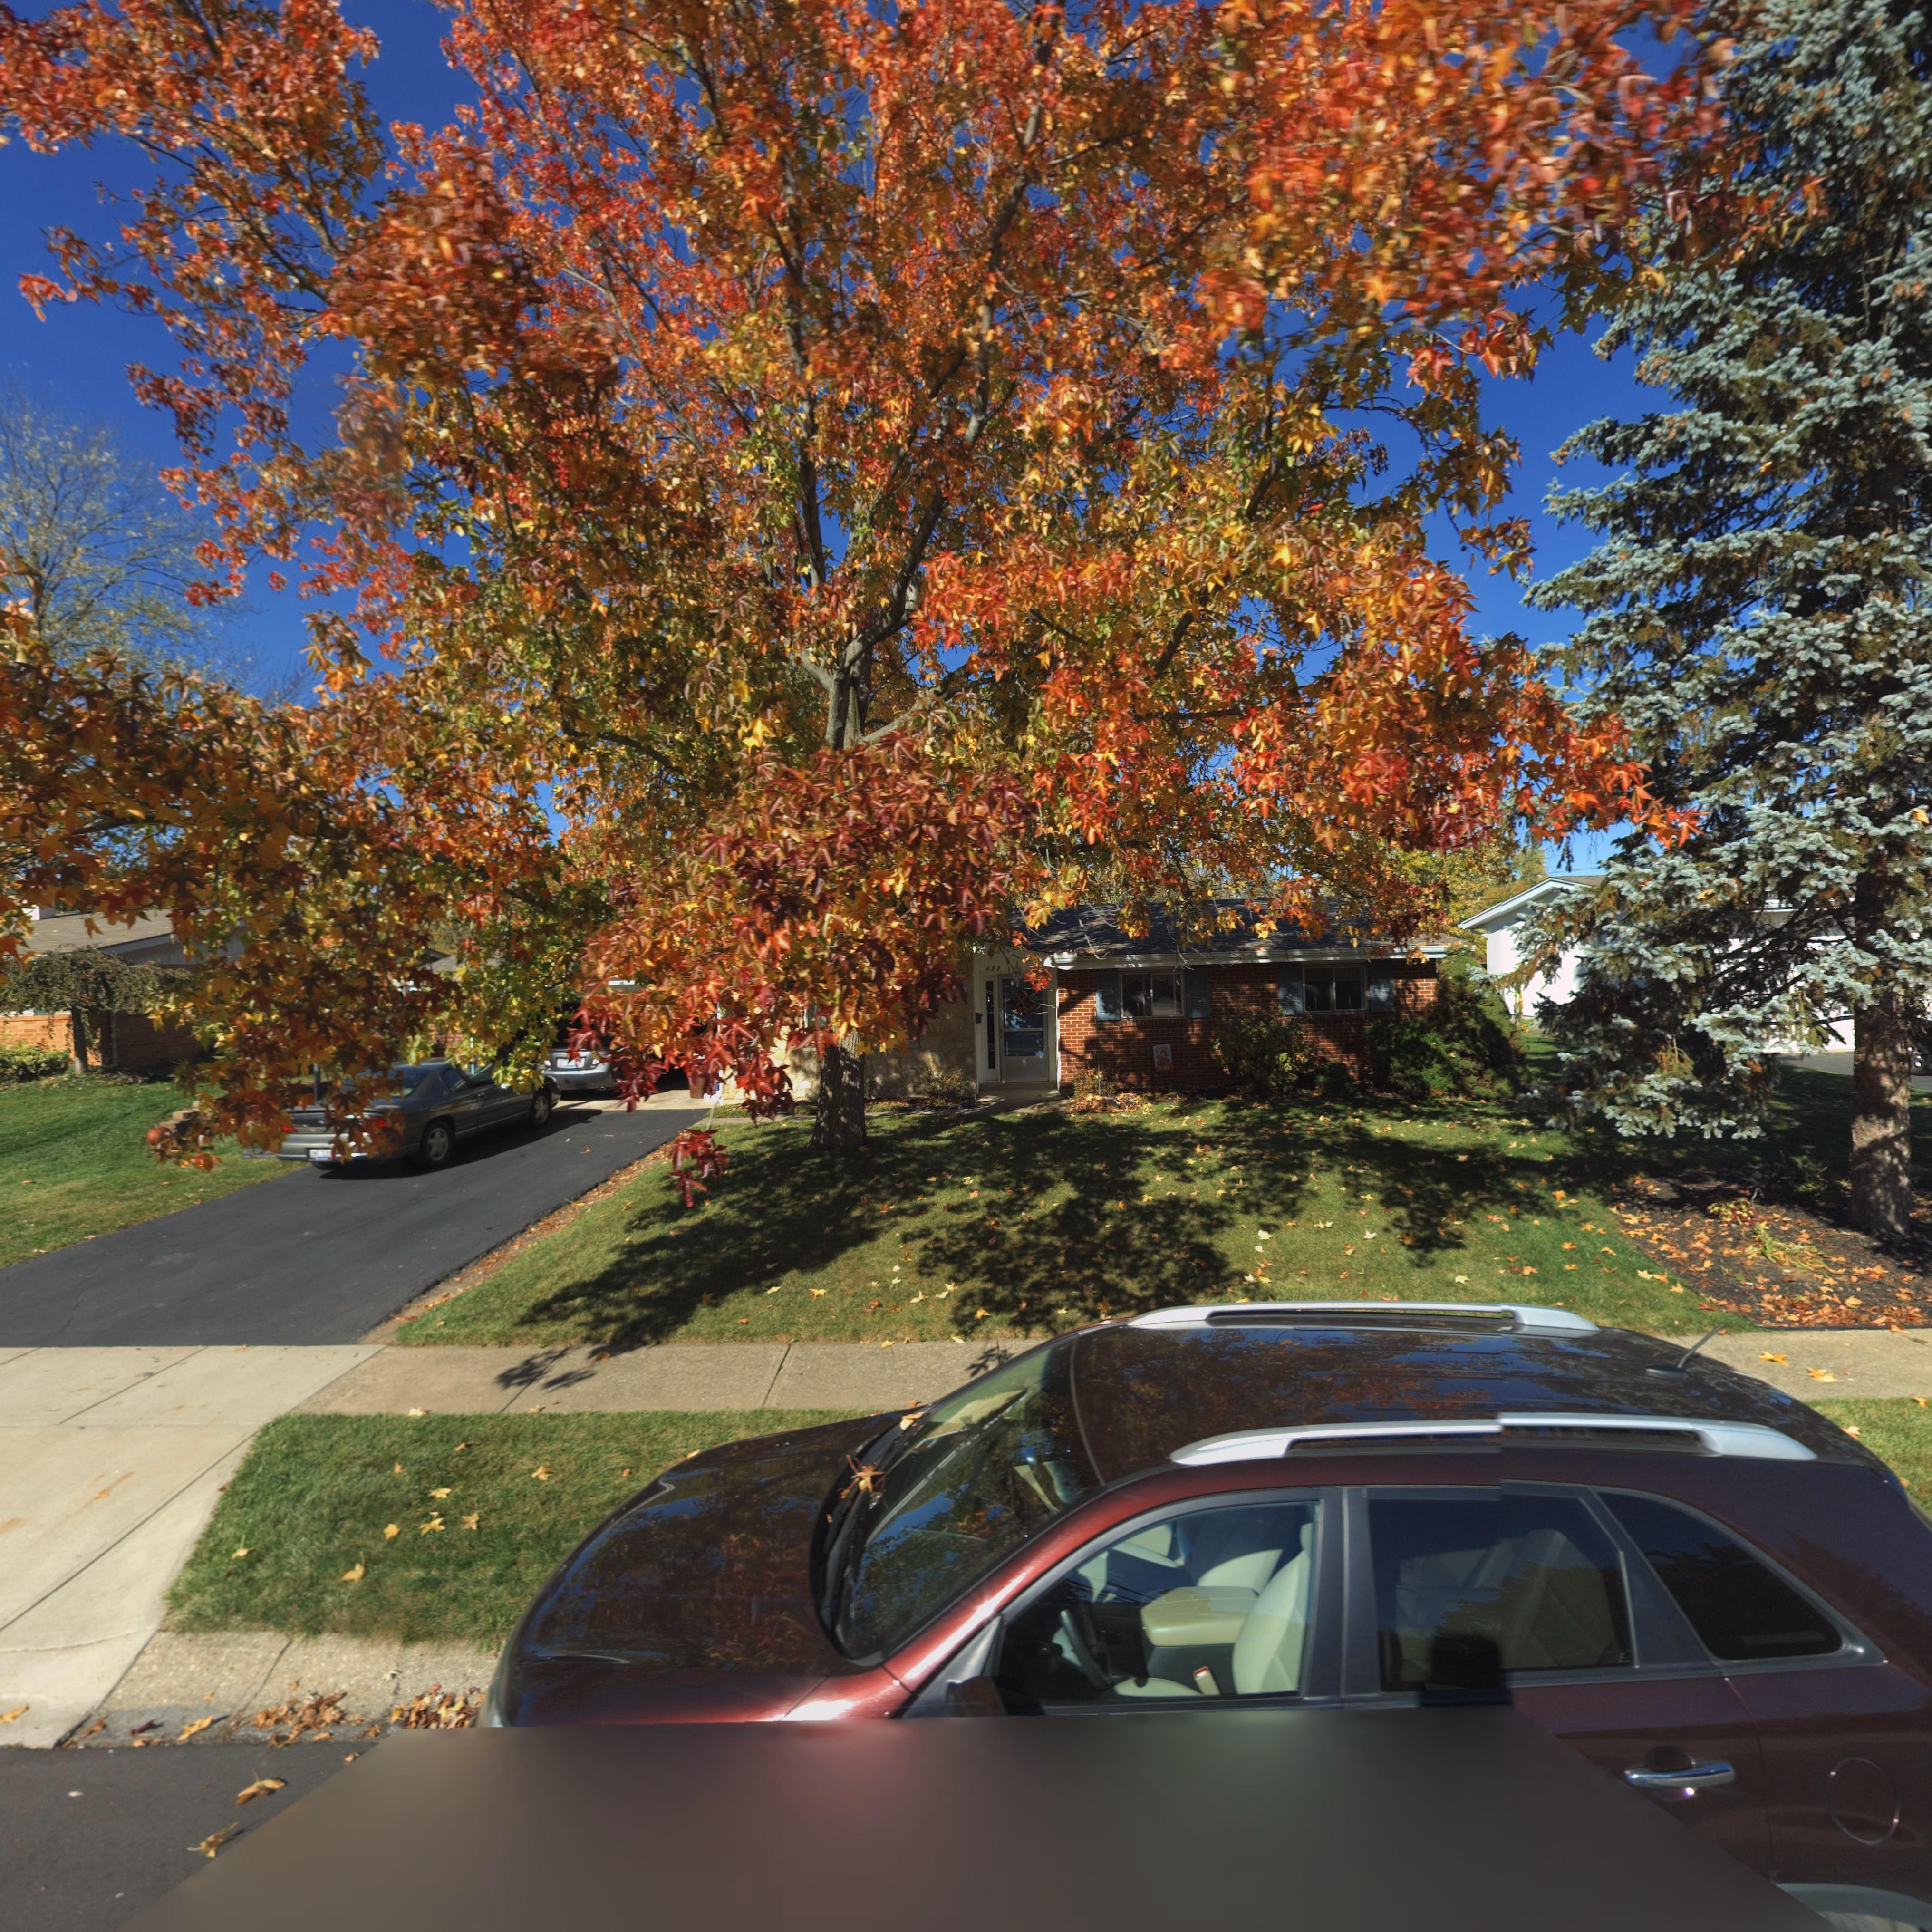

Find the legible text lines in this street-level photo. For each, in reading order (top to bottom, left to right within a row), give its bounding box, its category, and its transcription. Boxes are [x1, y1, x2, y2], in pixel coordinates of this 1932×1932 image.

[985, 965, 1002, 973] StreetNumber: 523